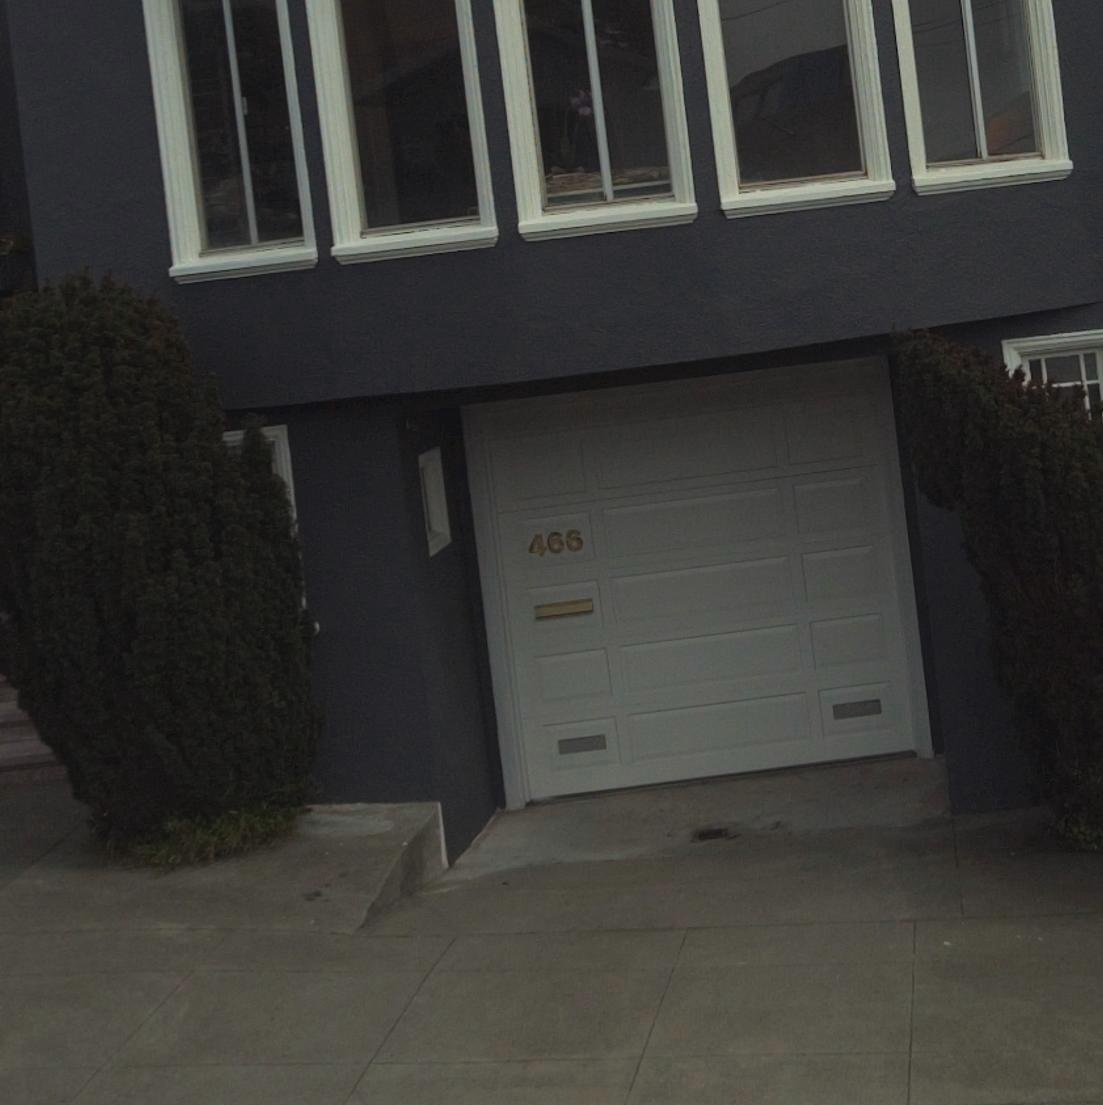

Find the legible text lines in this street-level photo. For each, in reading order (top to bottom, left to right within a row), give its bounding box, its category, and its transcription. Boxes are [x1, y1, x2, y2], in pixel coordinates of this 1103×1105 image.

[524, 527, 585, 559] StreetNumber: 466